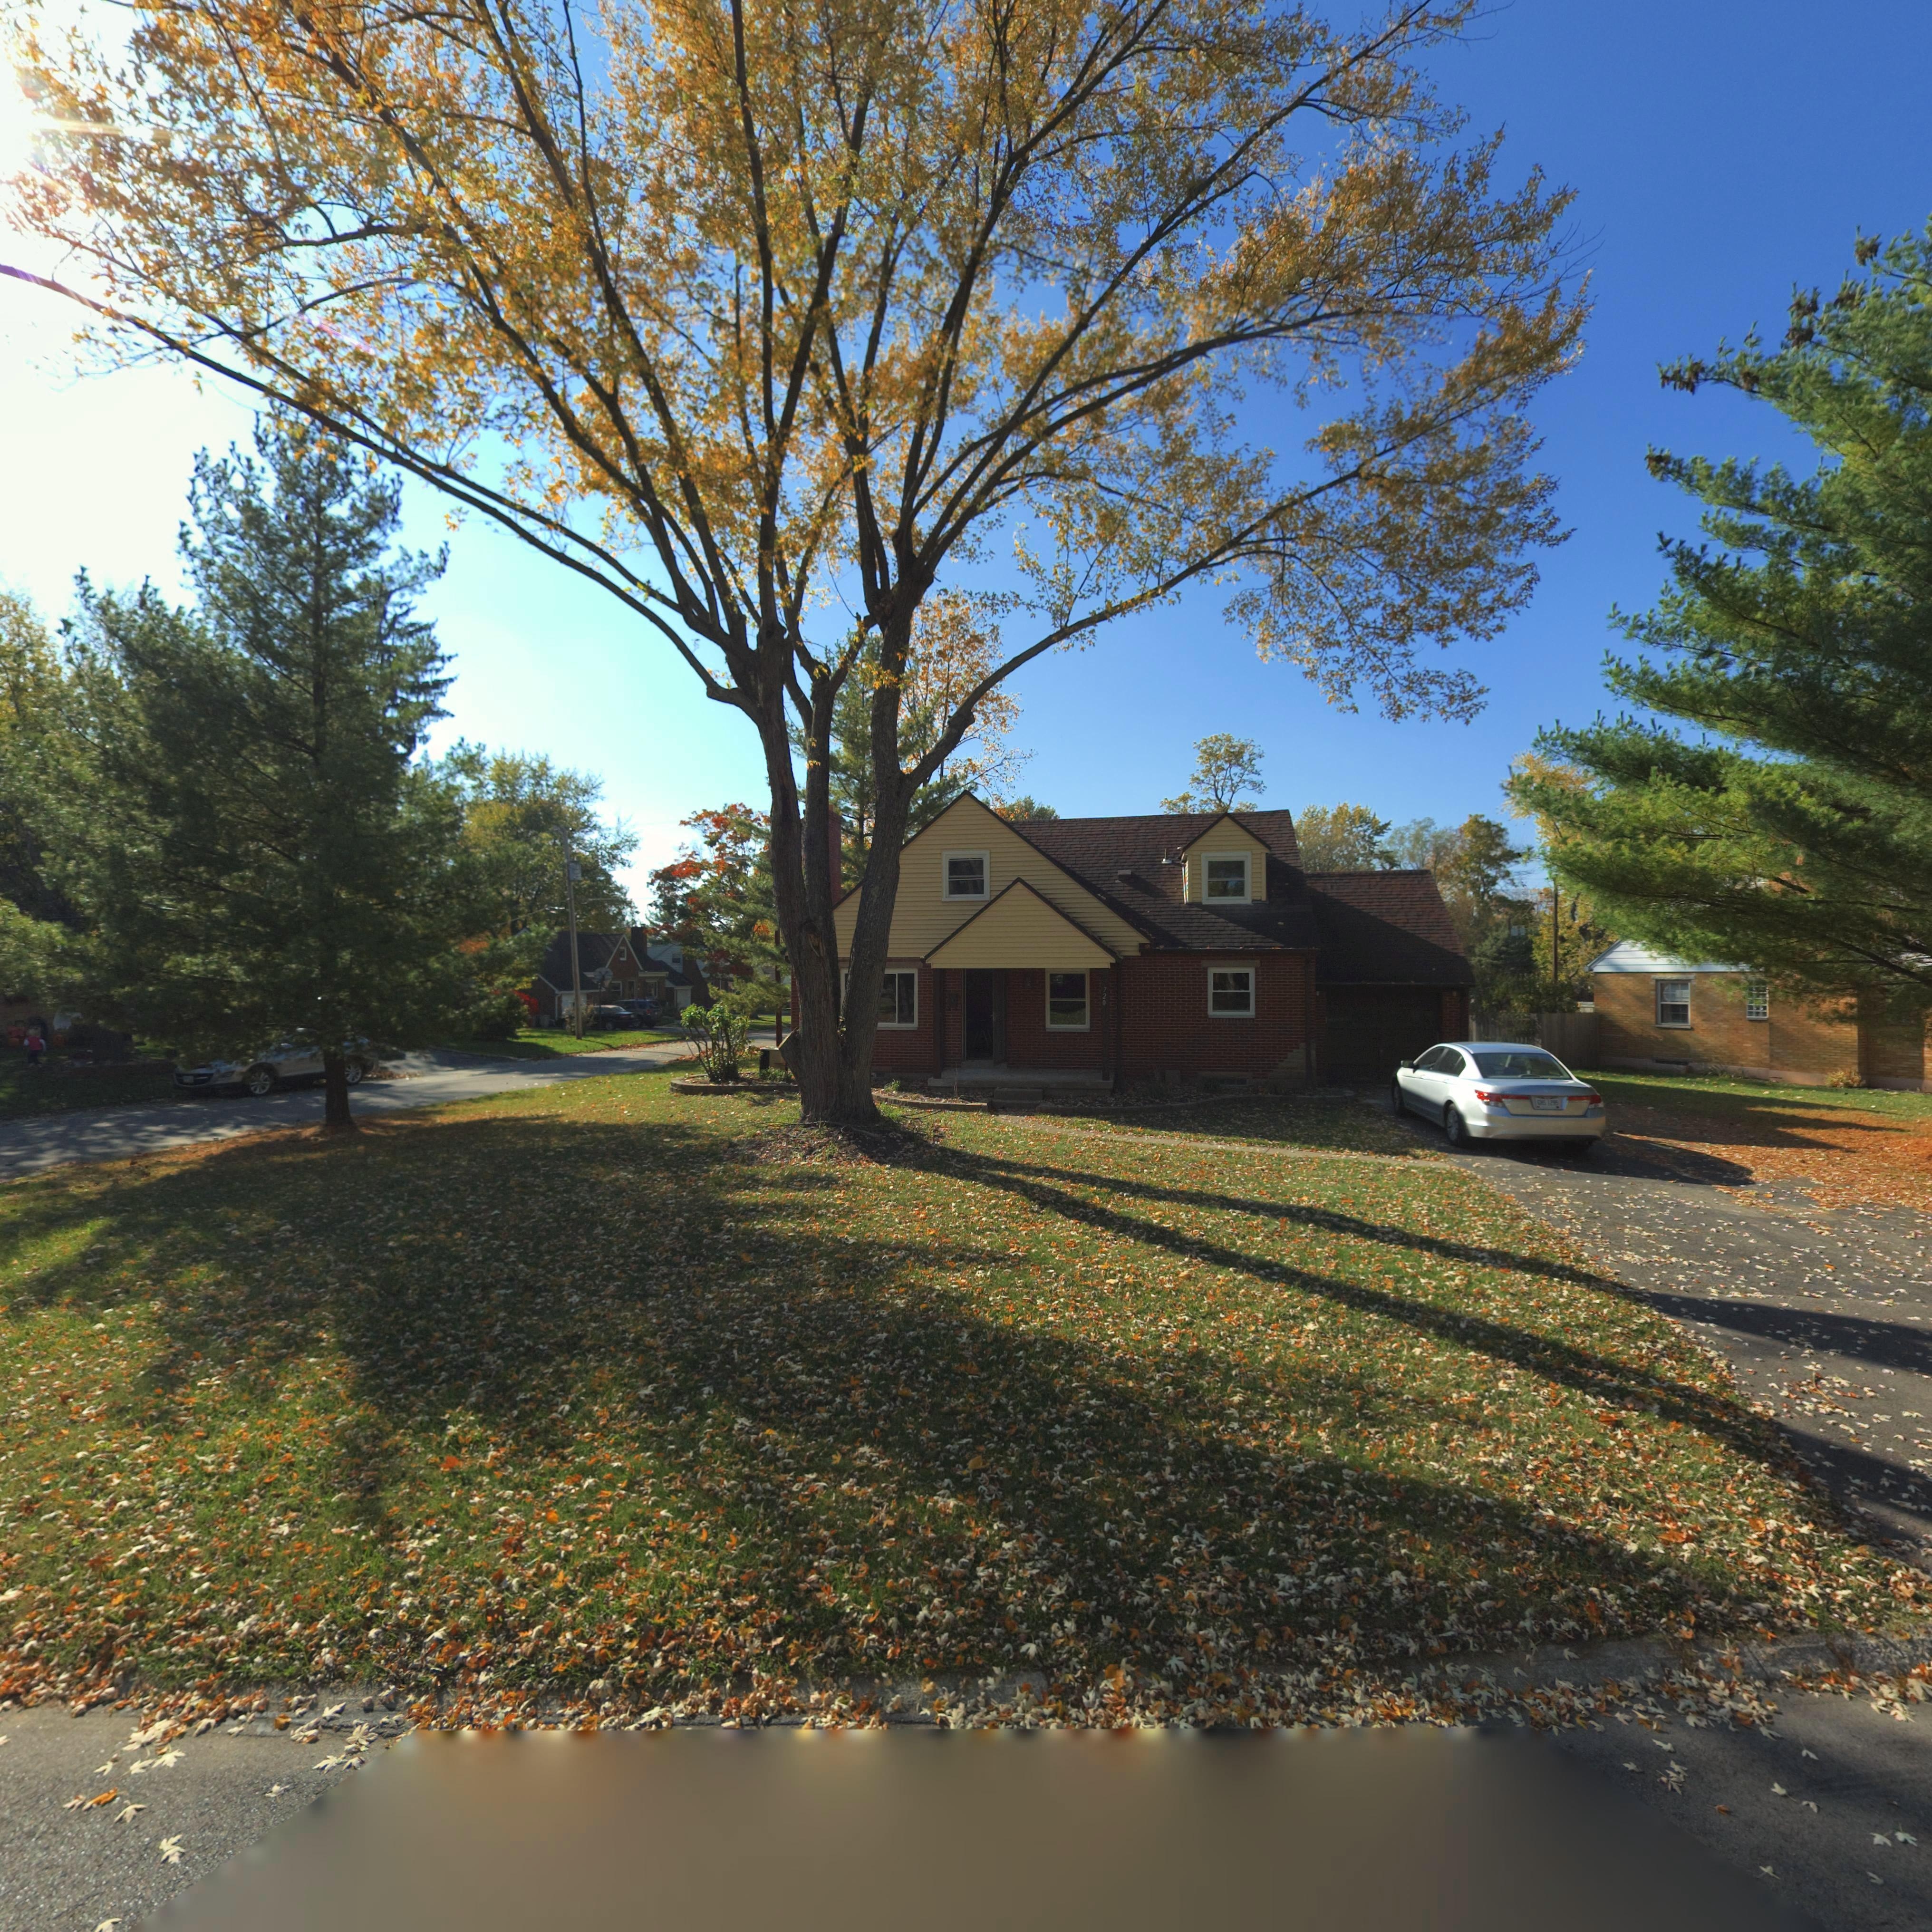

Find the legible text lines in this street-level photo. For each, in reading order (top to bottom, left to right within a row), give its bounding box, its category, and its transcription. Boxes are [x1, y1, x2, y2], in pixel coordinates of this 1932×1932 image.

[1101, 986, 1107, 1006] StreetNumber: 720